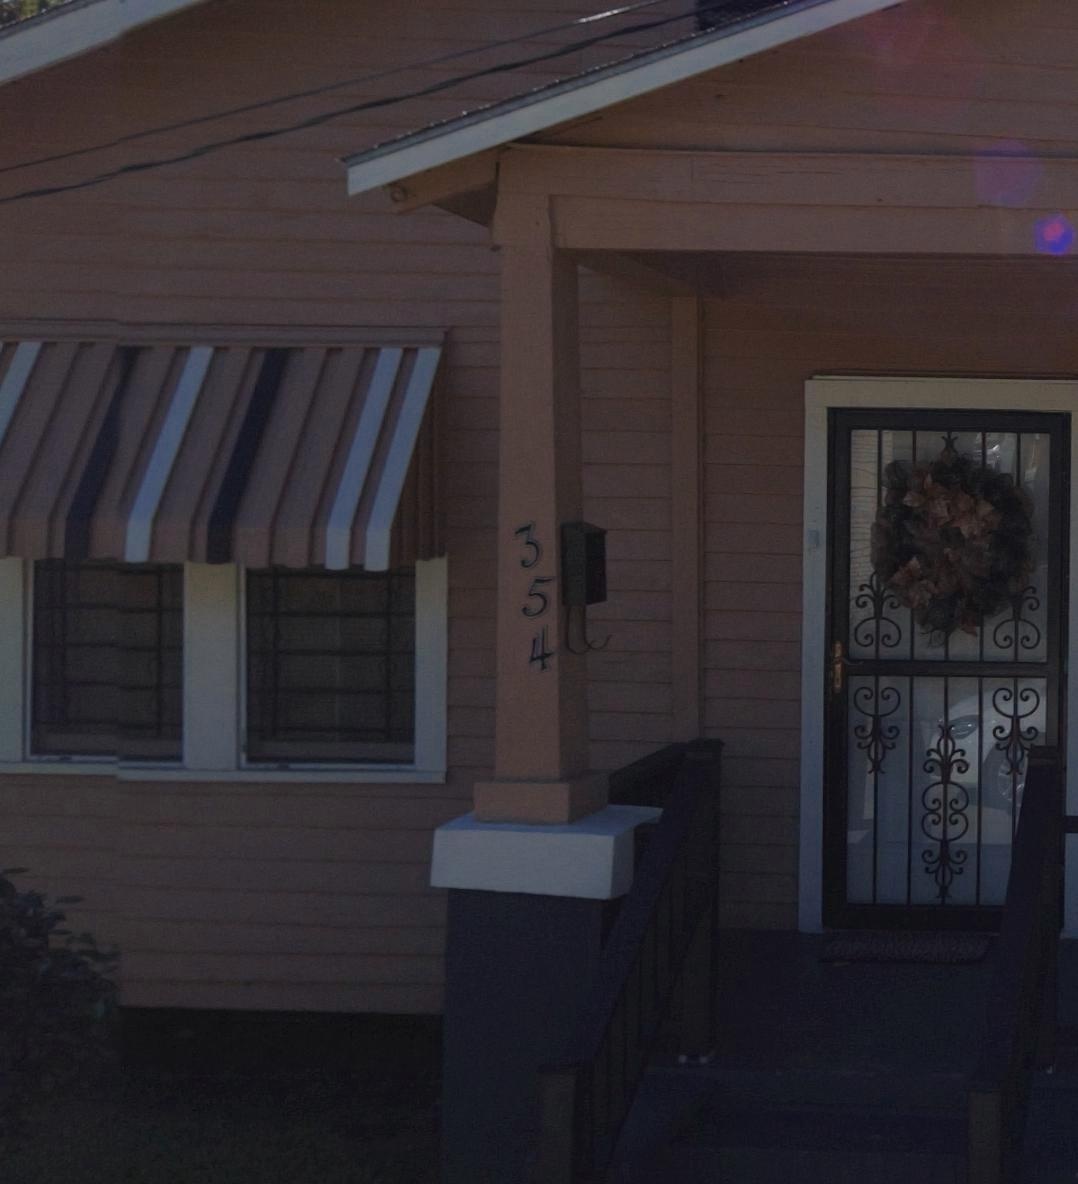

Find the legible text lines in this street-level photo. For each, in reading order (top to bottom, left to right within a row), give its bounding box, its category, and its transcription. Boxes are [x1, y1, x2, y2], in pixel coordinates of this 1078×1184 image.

[509, 514, 559, 689] StreetNumber: 354